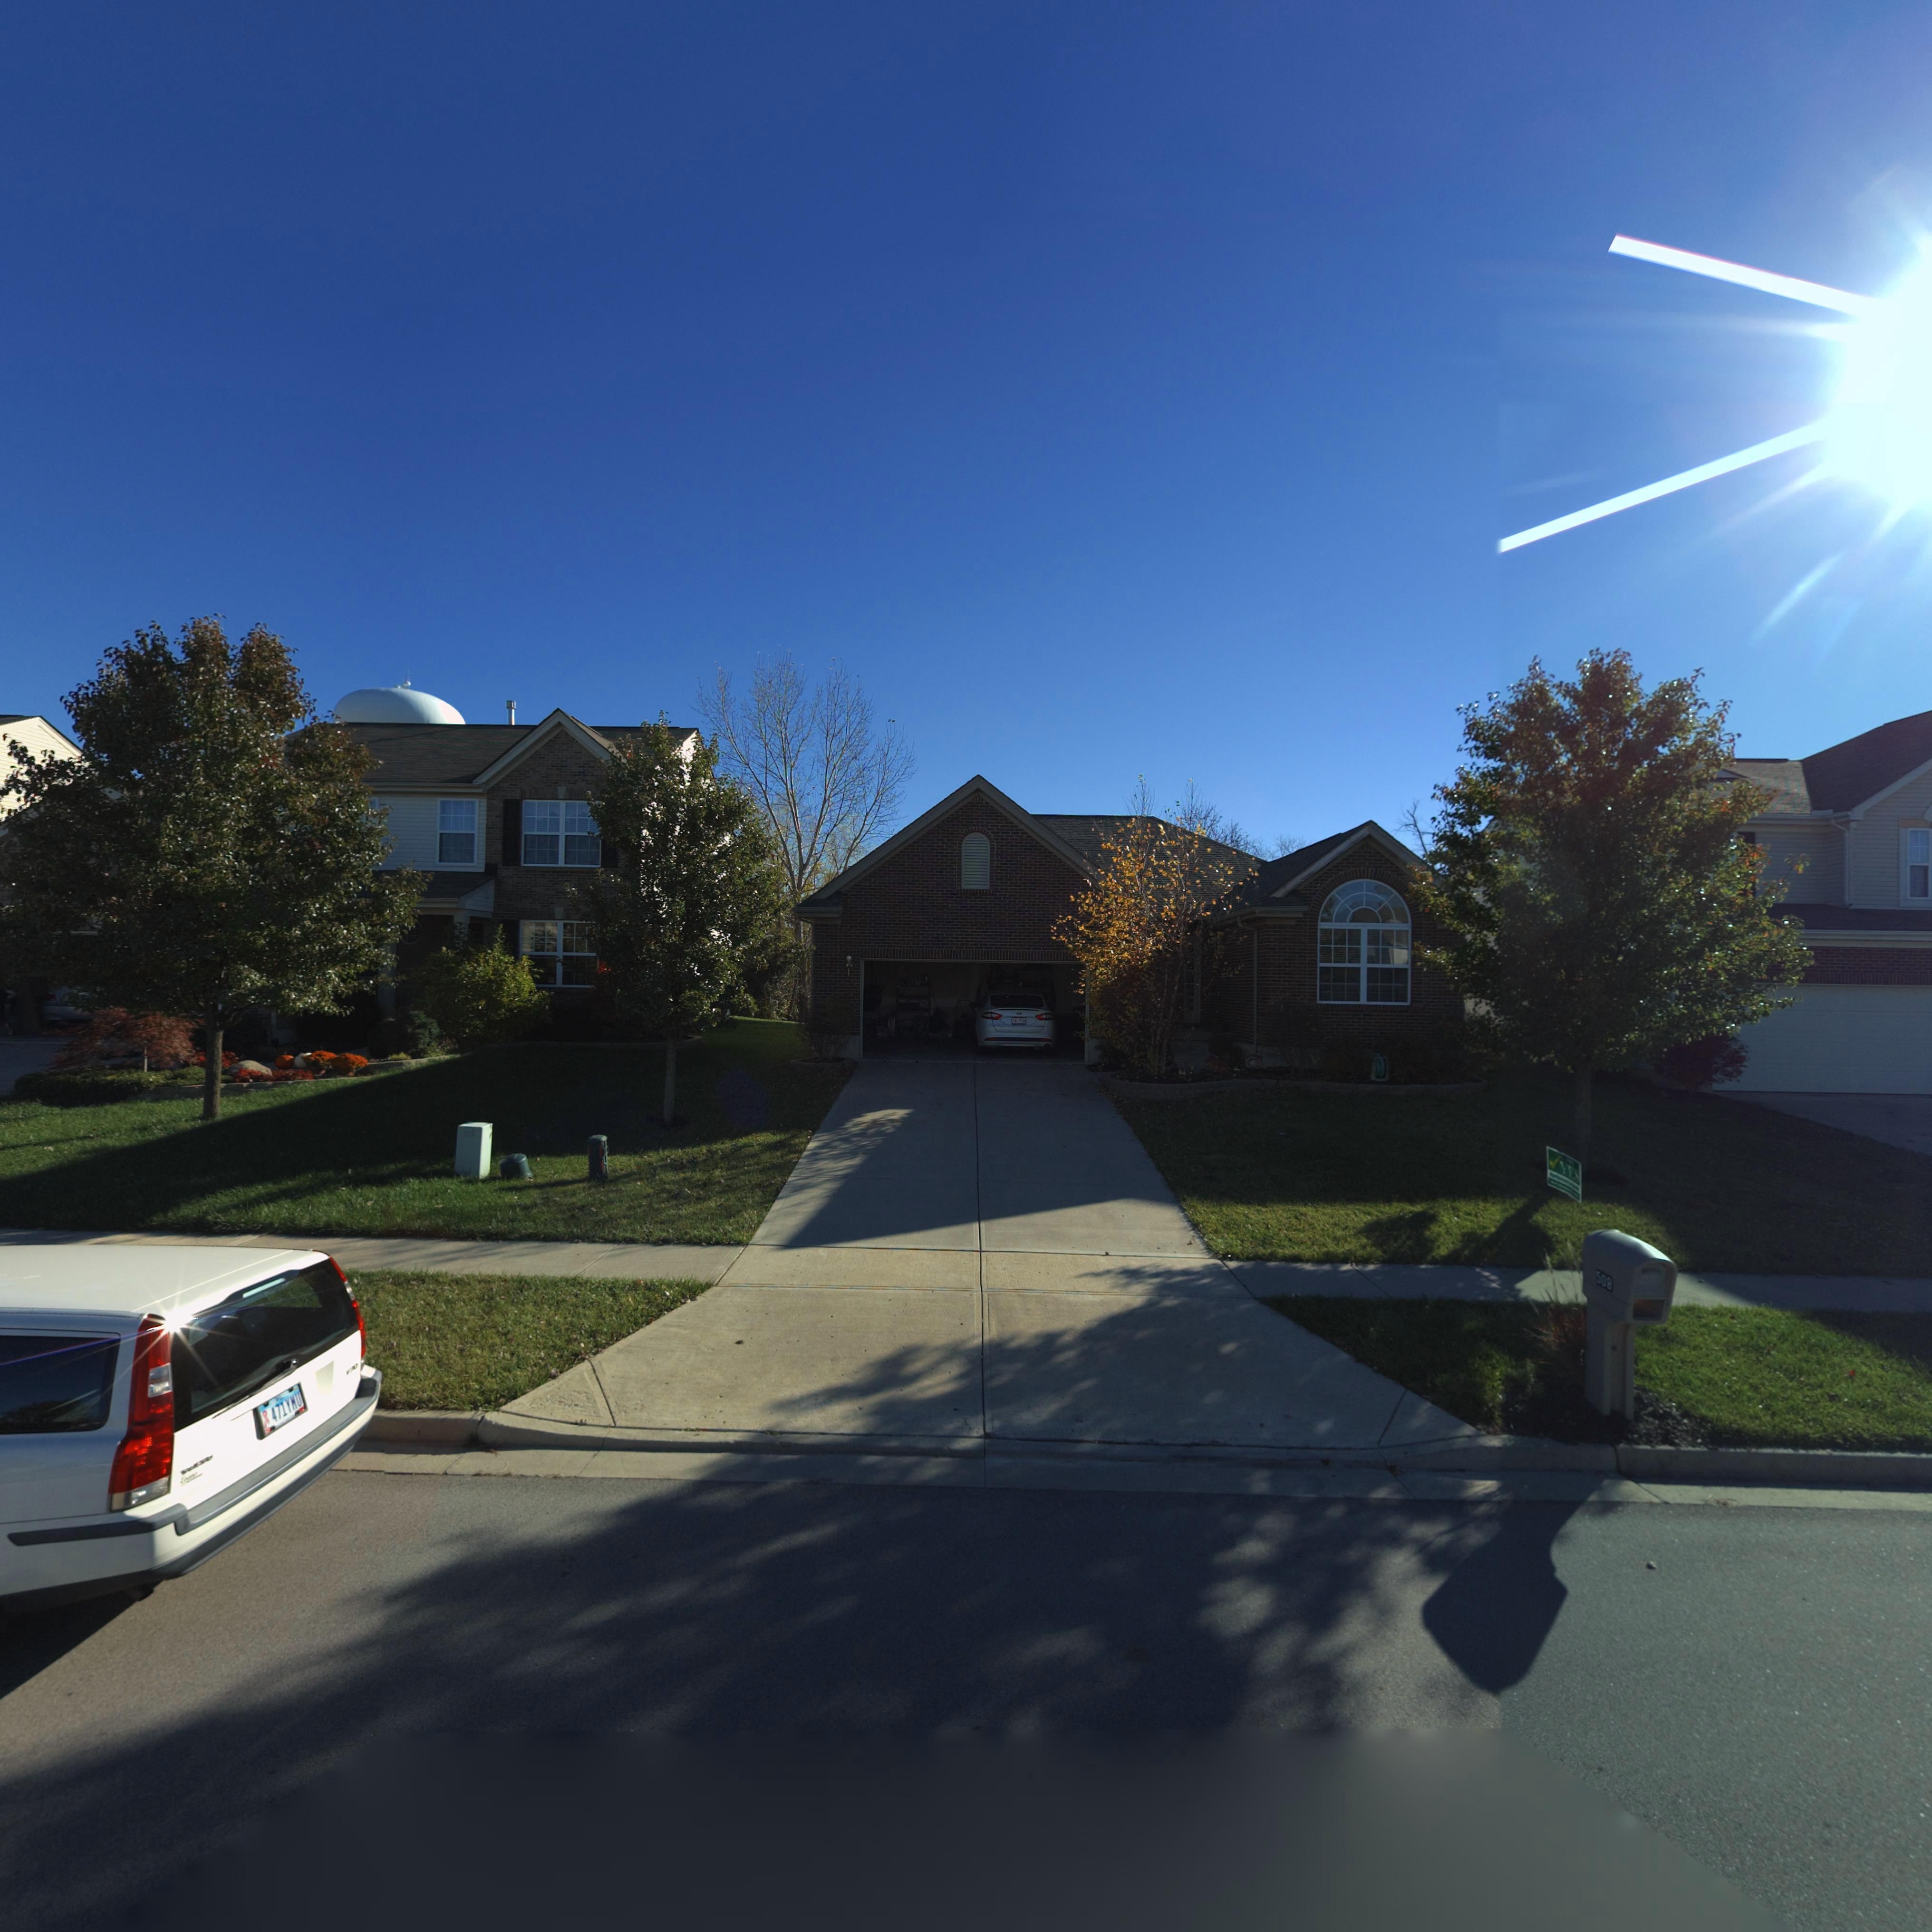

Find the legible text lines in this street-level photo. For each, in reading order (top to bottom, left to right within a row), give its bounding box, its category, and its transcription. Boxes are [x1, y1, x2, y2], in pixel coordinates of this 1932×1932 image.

[1560, 1160, 1580, 1185] None: YES
[1594, 1269, 1613, 1293] StreetNumber: 508
[270, 1391, 304, 1423] None: 471YMU